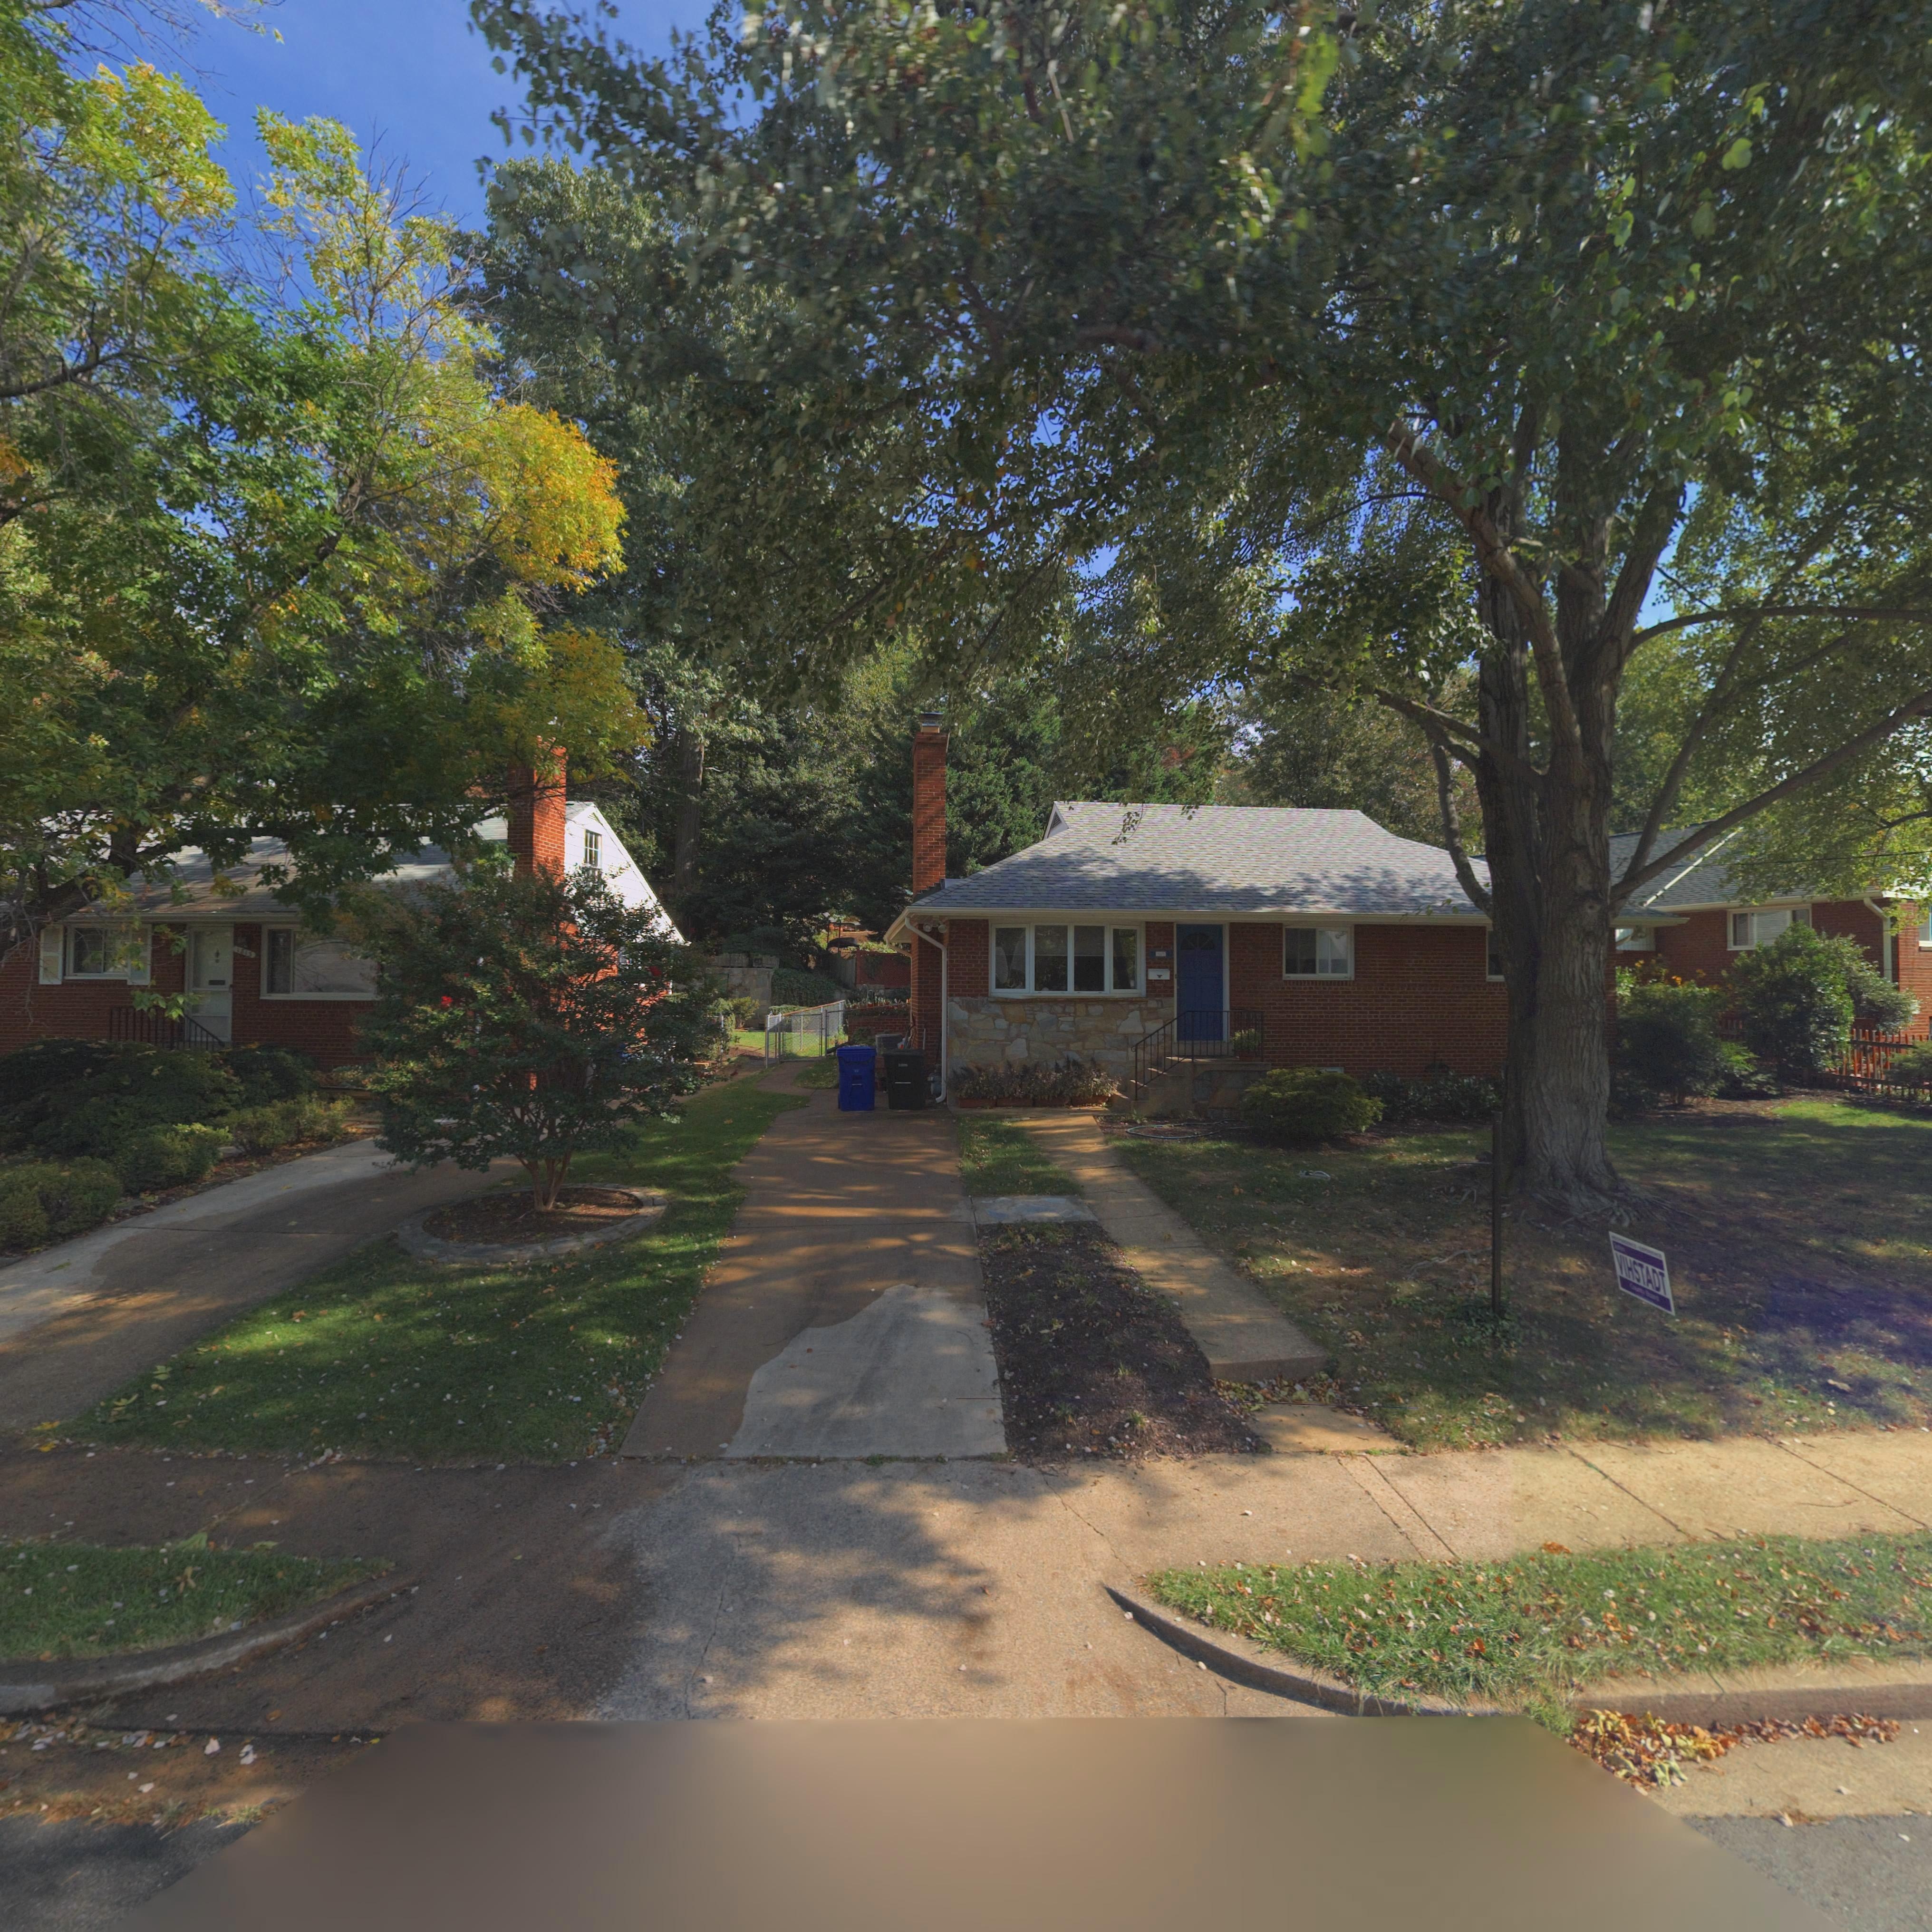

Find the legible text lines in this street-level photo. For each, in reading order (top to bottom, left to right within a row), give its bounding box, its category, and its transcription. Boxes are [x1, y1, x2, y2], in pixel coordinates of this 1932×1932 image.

[236, 945, 254, 959] StreetNumber: 1815
[1613, 1249, 1670, 1298] None: VIHSTADT